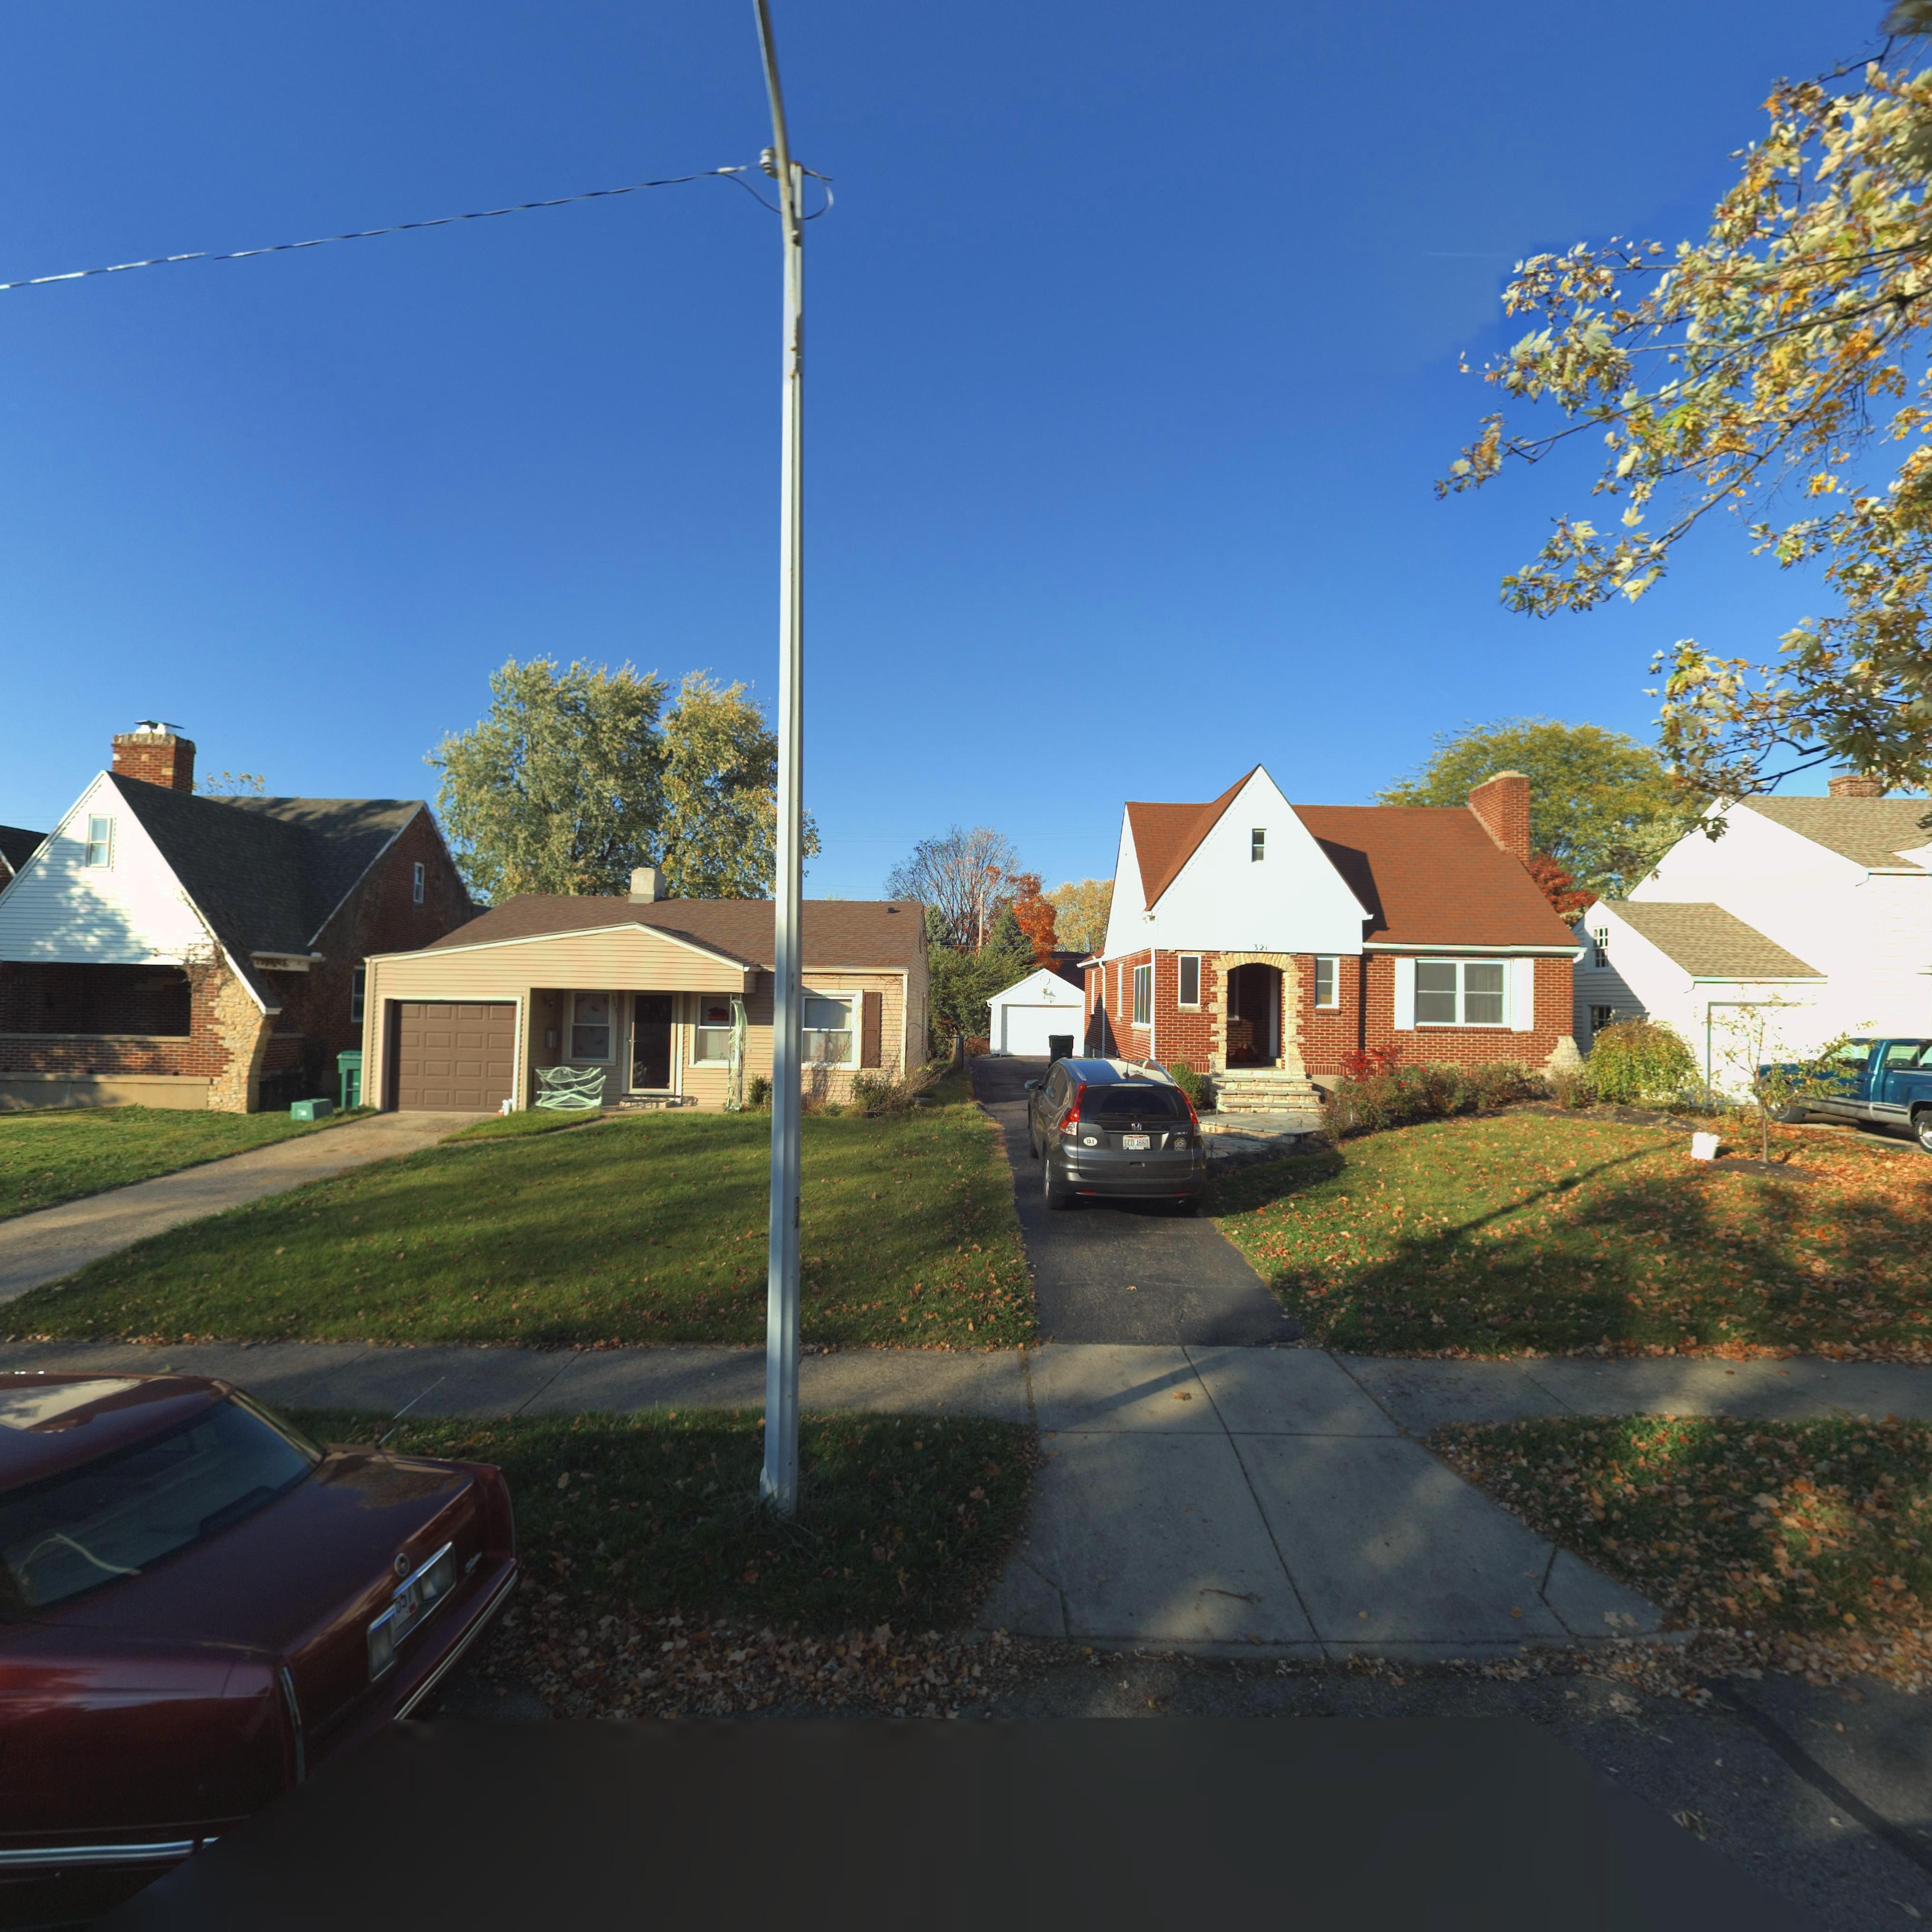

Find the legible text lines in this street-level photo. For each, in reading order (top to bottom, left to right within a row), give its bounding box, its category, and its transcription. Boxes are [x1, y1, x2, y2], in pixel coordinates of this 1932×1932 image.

[1253, 943, 1268, 951] StreetNumber: 321
[611, 995, 618, 1014] StreetNumber: 317